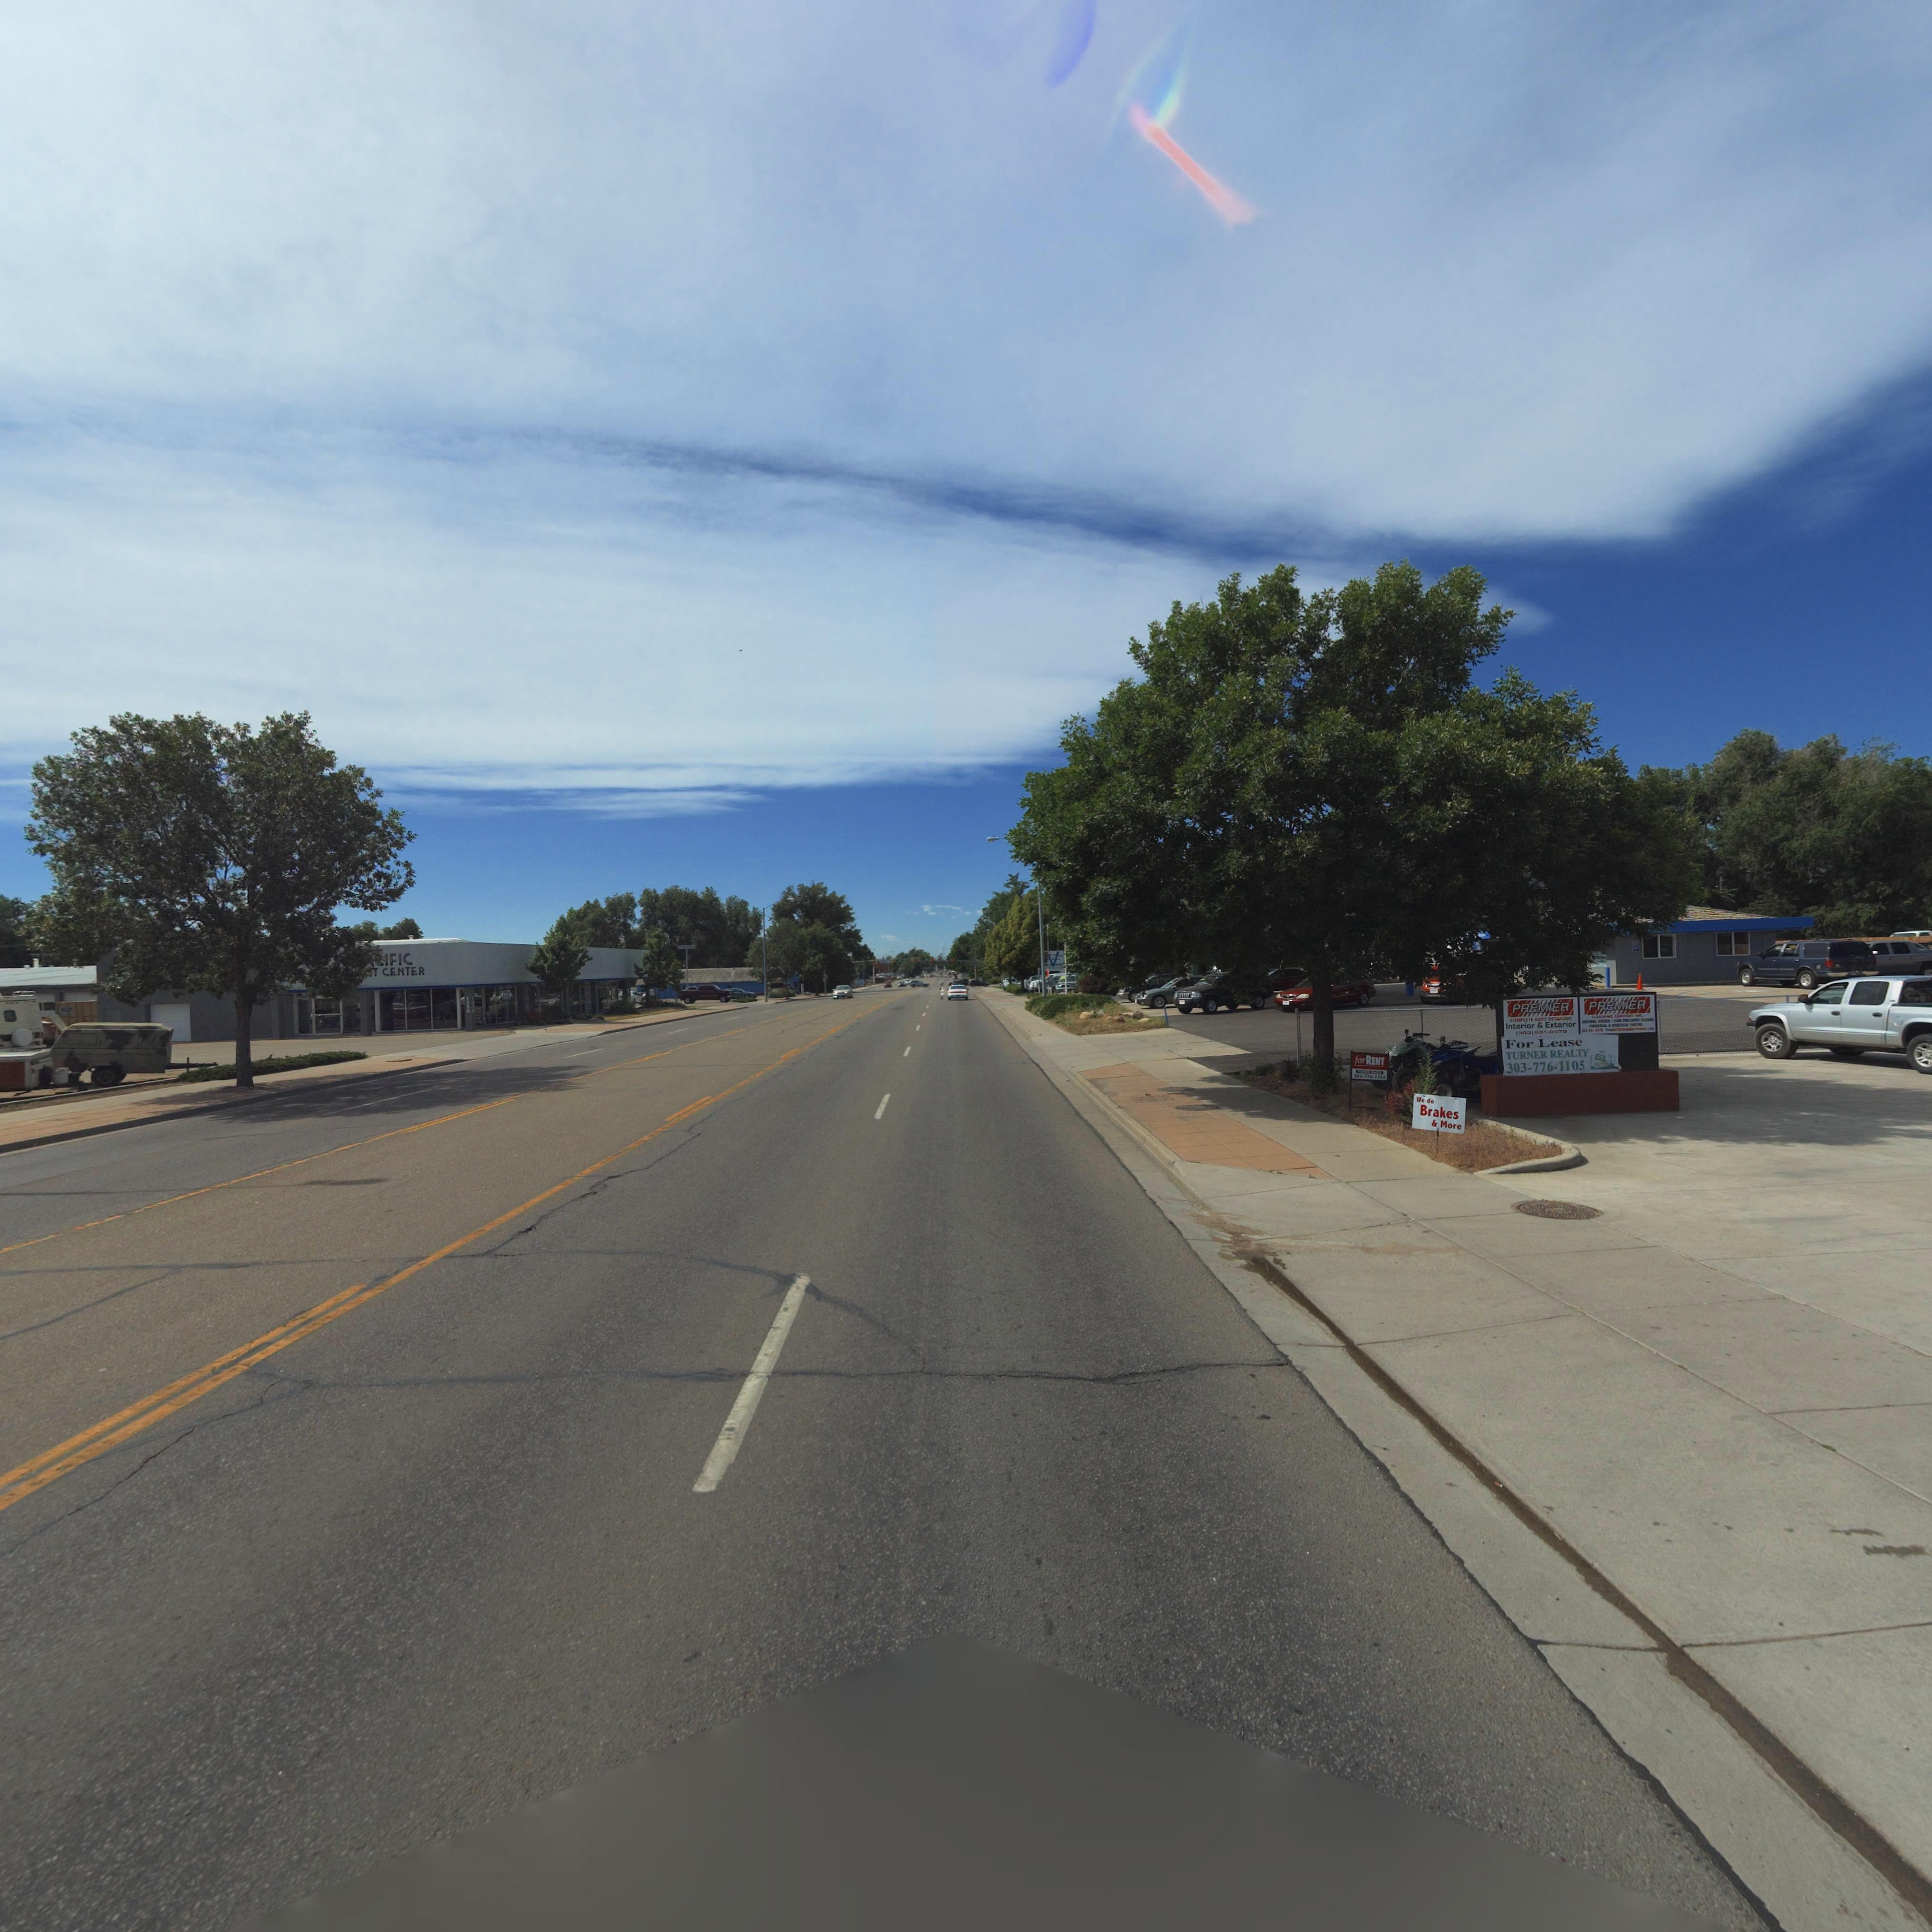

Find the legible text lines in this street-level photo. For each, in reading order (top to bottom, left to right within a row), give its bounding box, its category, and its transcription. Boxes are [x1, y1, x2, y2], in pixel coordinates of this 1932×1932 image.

[384, 952, 413, 966] BusinessName: IFIC
[1044, 951, 1060, 966] BusinessName: V
[372, 966, 425, 977] BusinessName: T CENTER
[466, 996, 470, 1014] StreetNumber: 1*30
[1511, 1000, 1646, 1013] BusinessName: PREMIER PREMIER